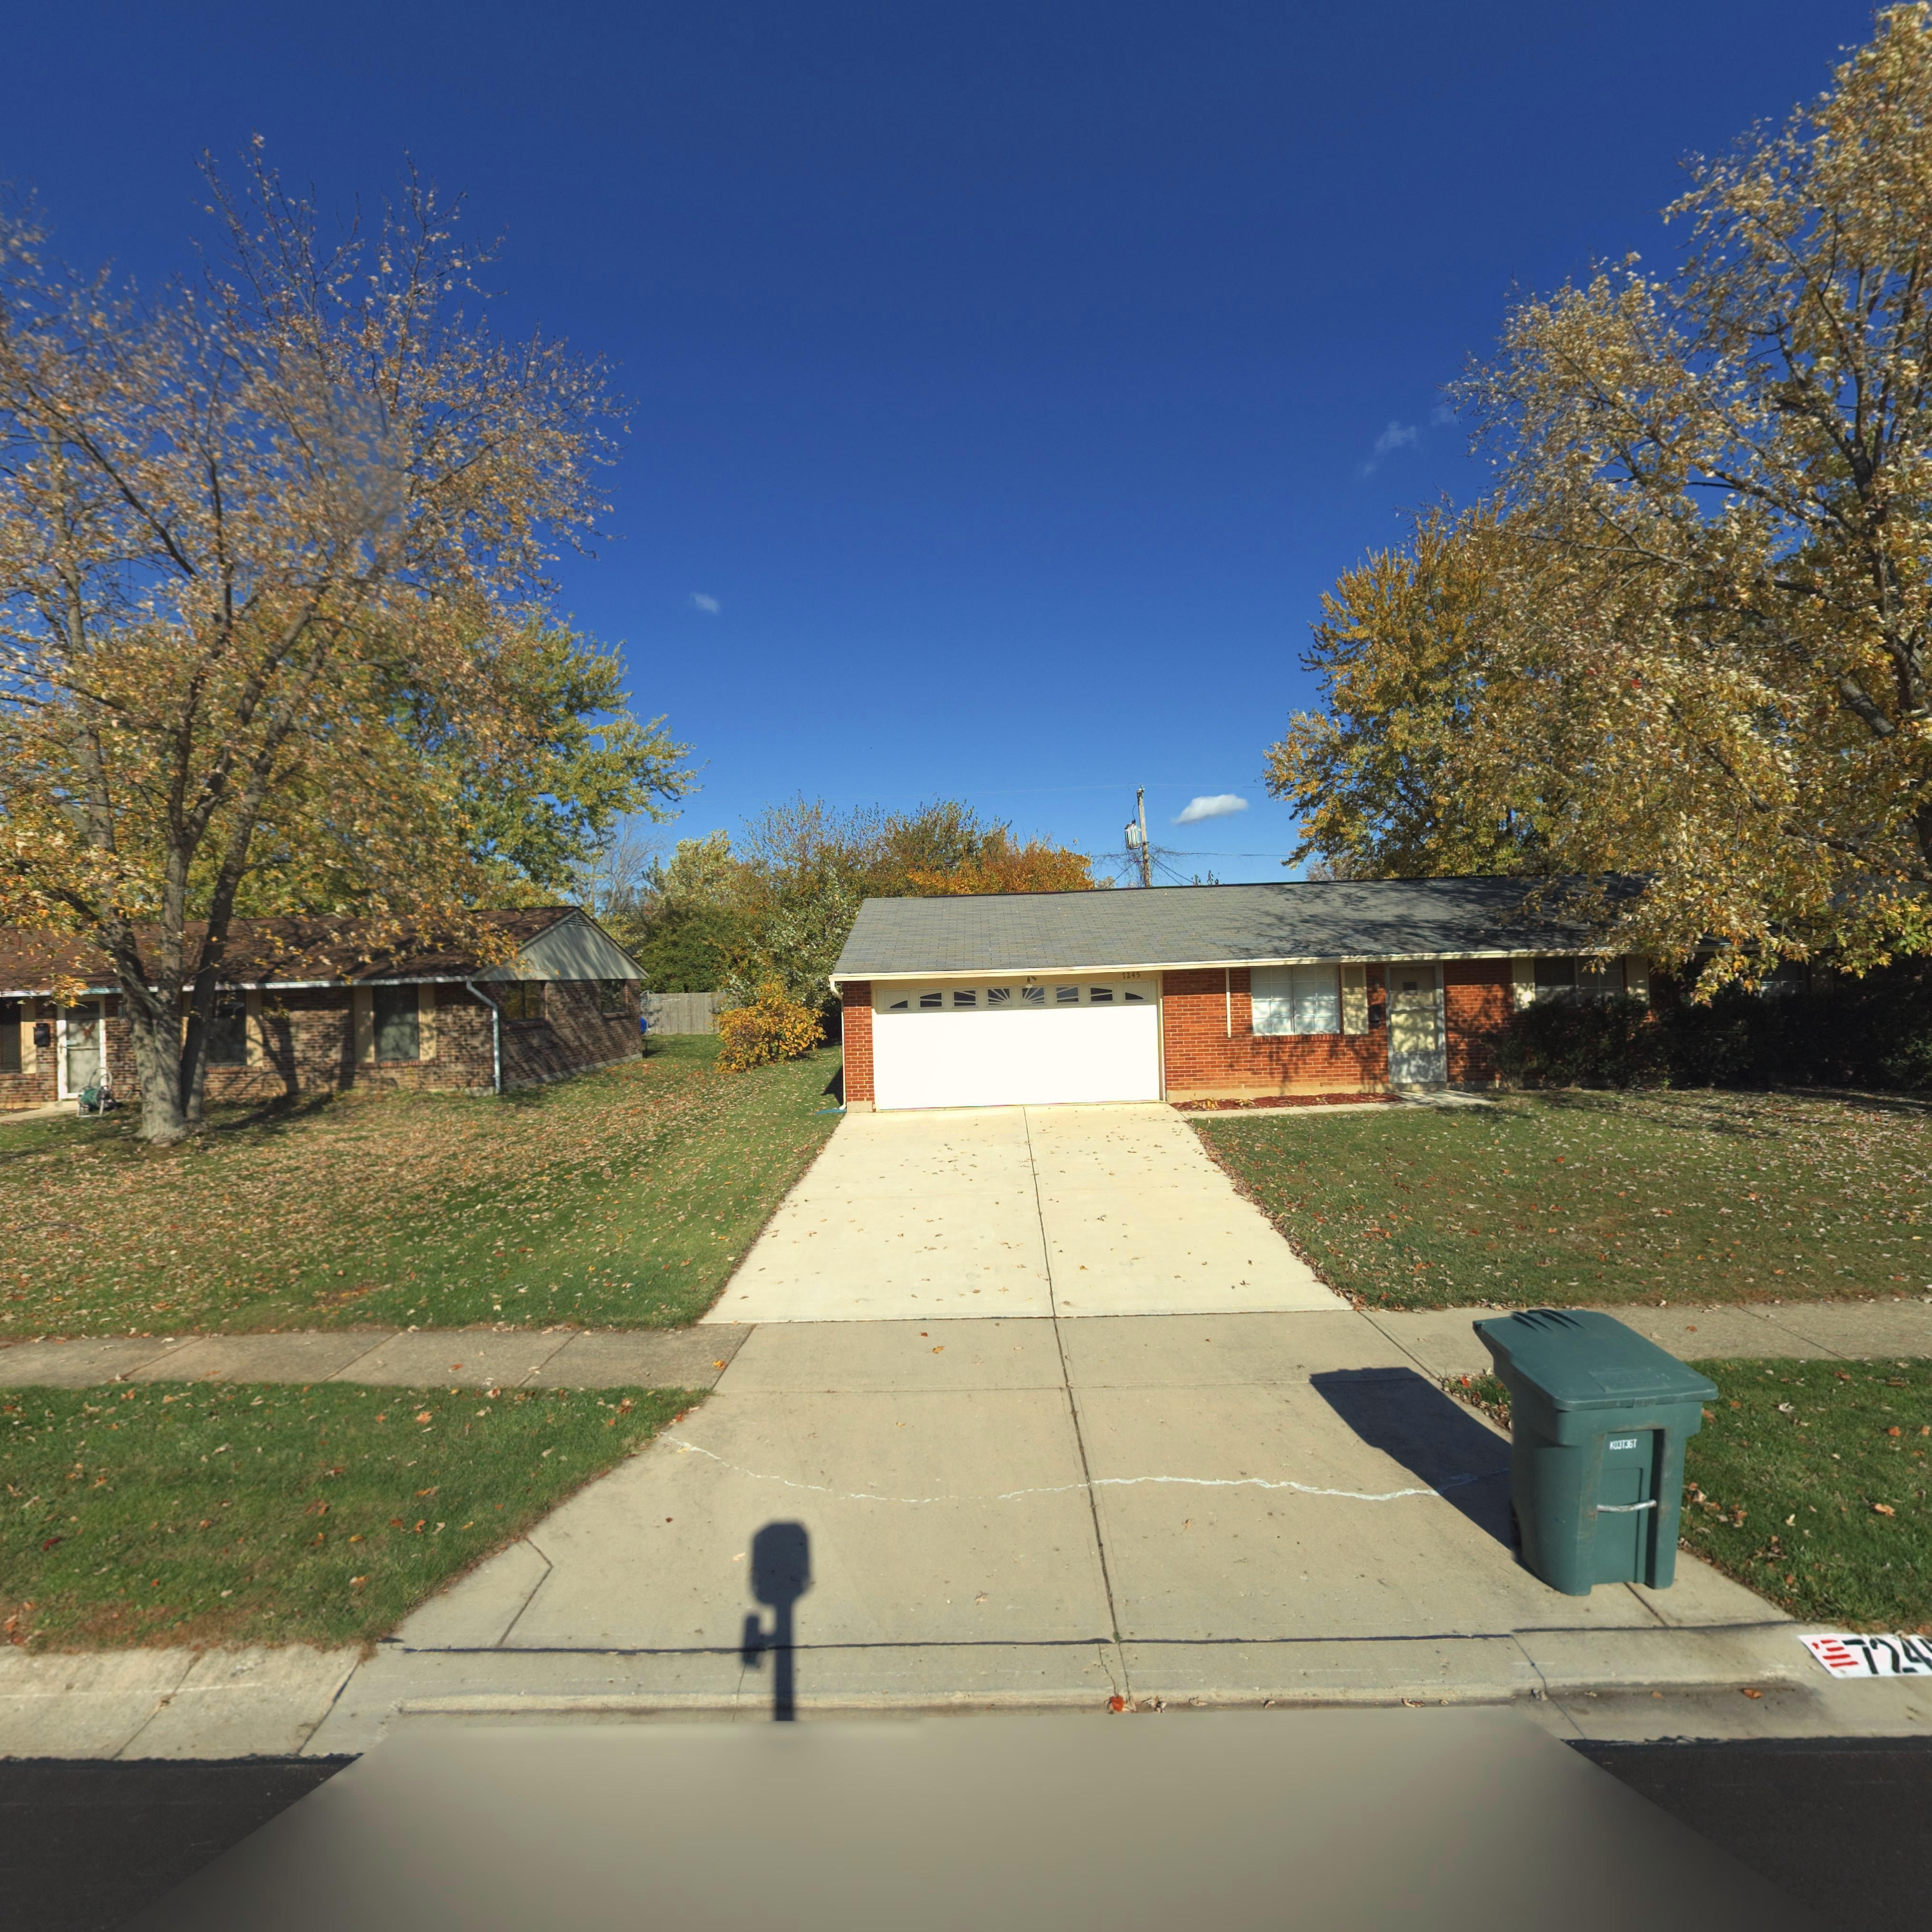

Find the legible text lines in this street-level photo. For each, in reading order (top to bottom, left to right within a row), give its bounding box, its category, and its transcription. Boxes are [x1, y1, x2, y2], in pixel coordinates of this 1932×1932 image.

[1121, 971, 1141, 981] StreetNumber: 7245
[1839, 1632, 1932, 1676] StreetNumber: 724